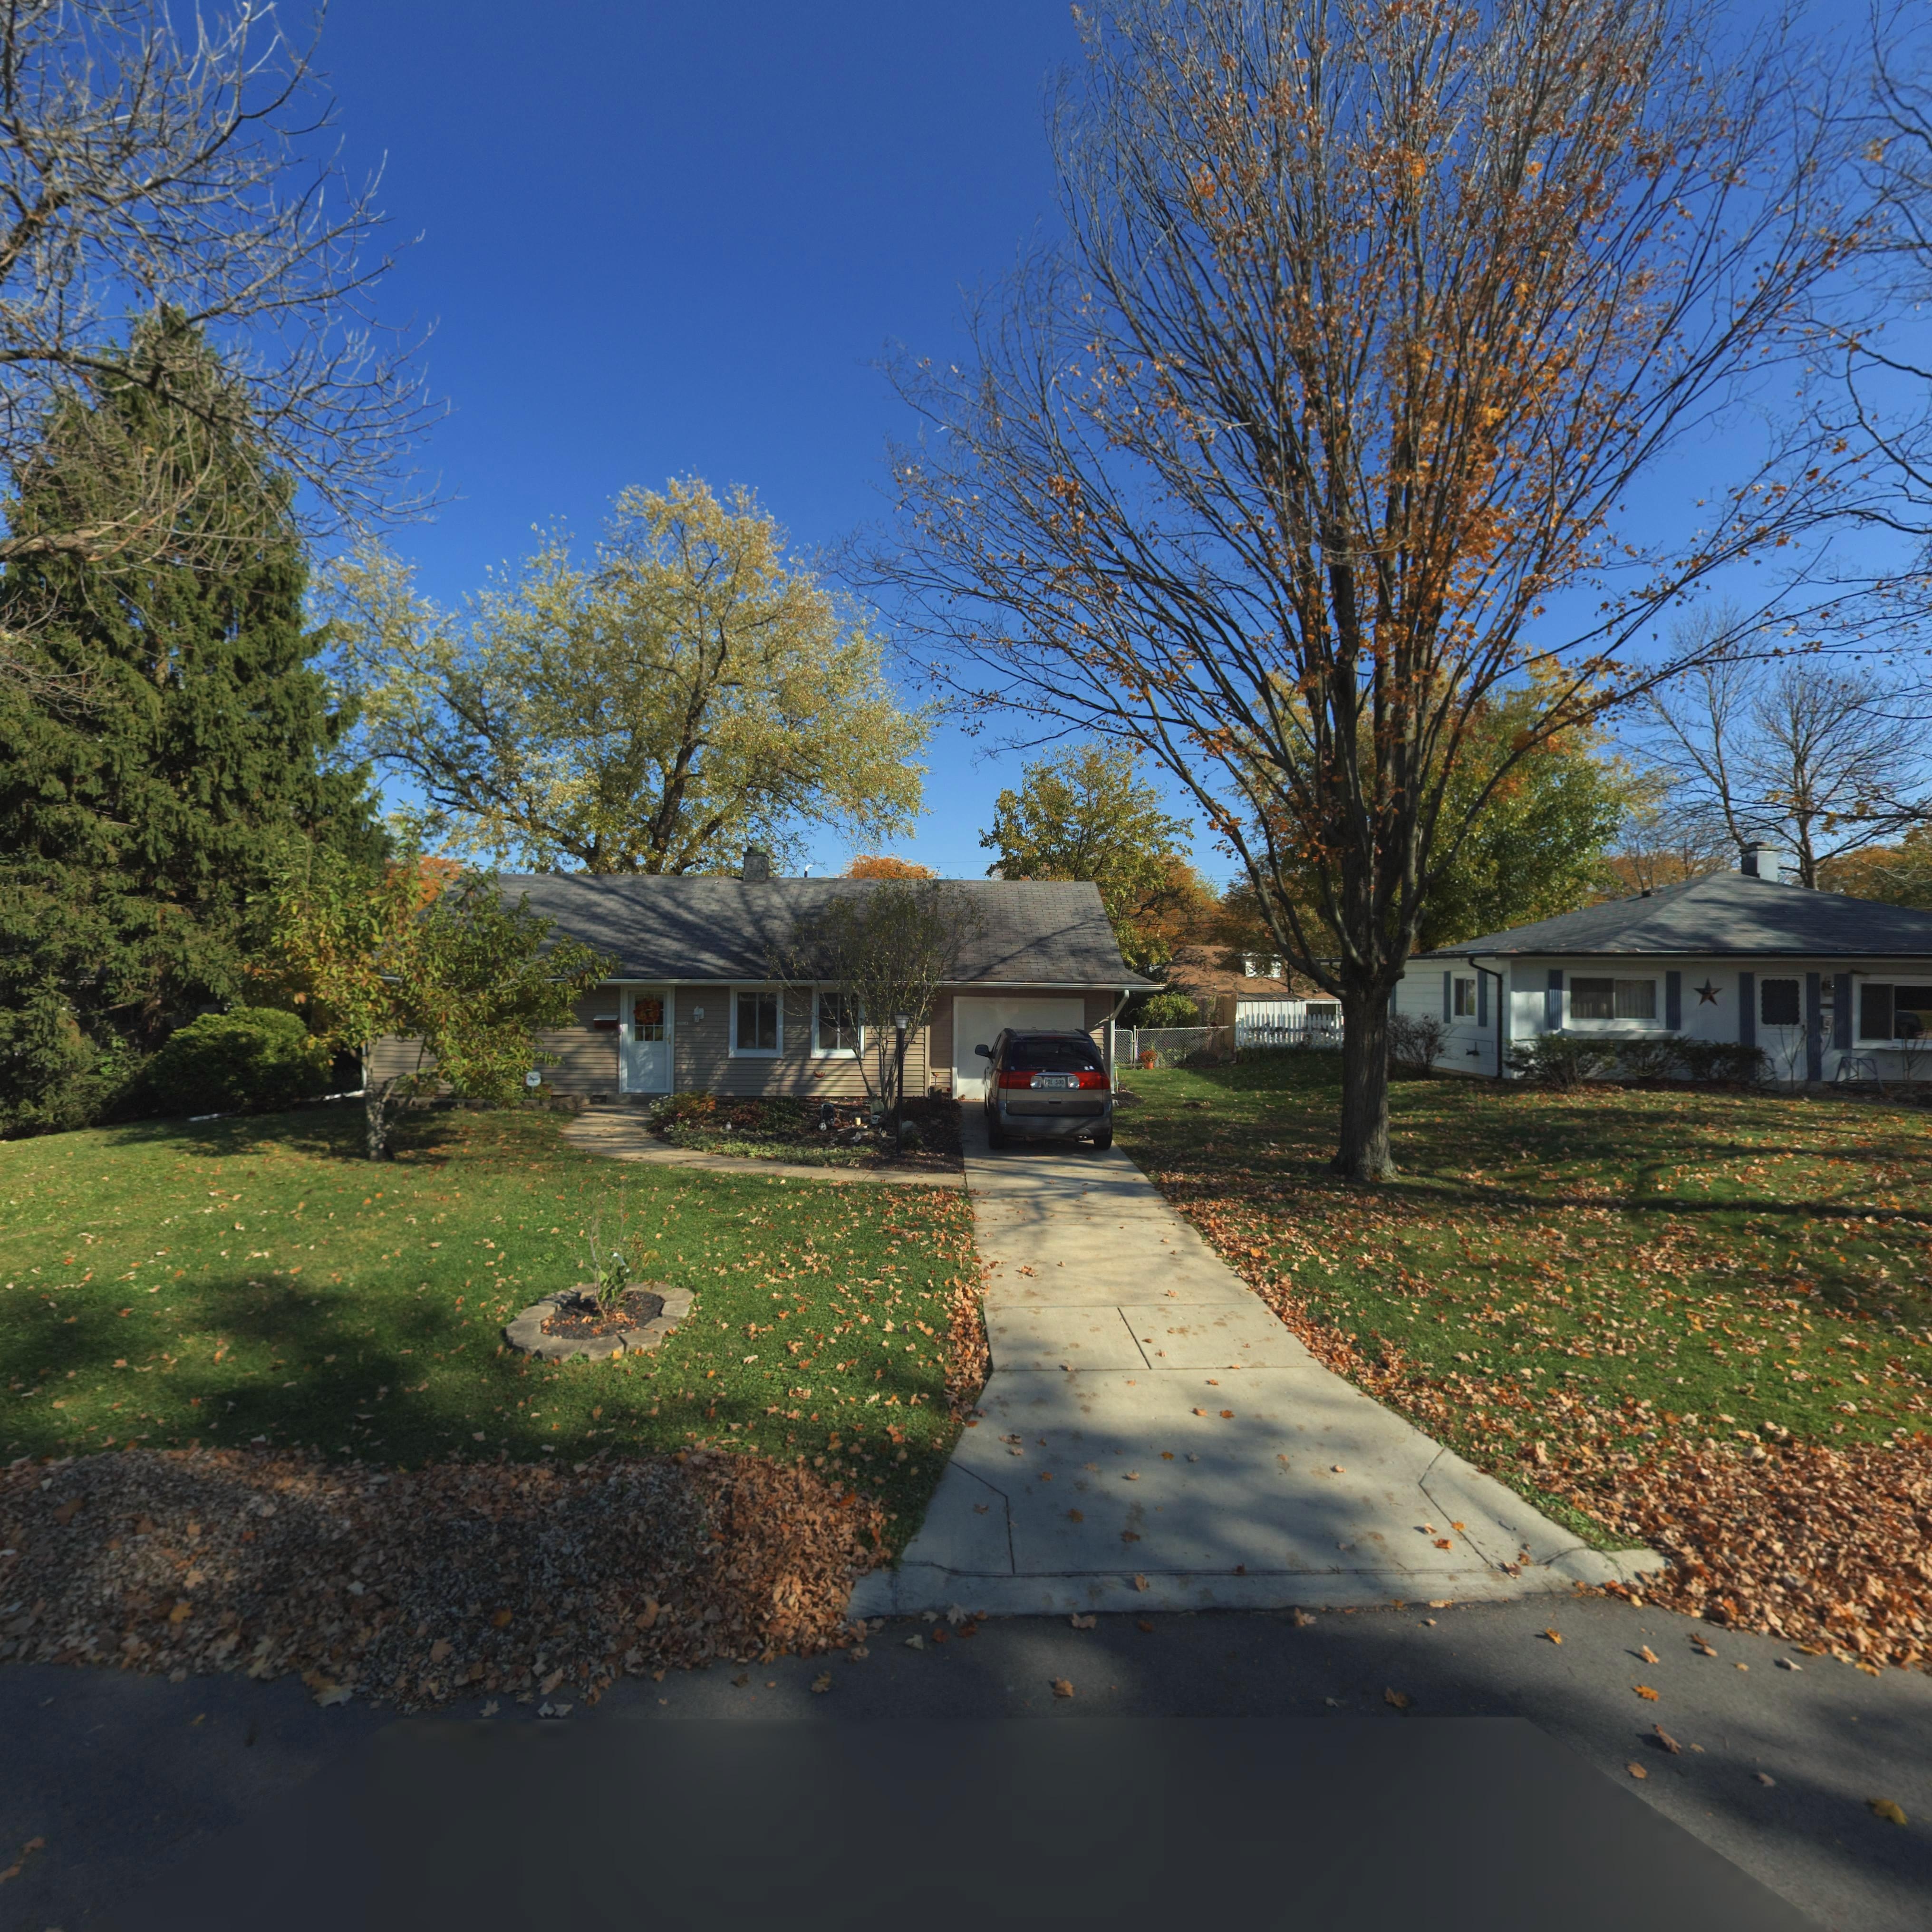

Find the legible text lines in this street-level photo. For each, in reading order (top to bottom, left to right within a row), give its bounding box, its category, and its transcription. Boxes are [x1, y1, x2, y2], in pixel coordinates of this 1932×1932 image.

[1044, 1079, 1064, 1085] None: PDE*500